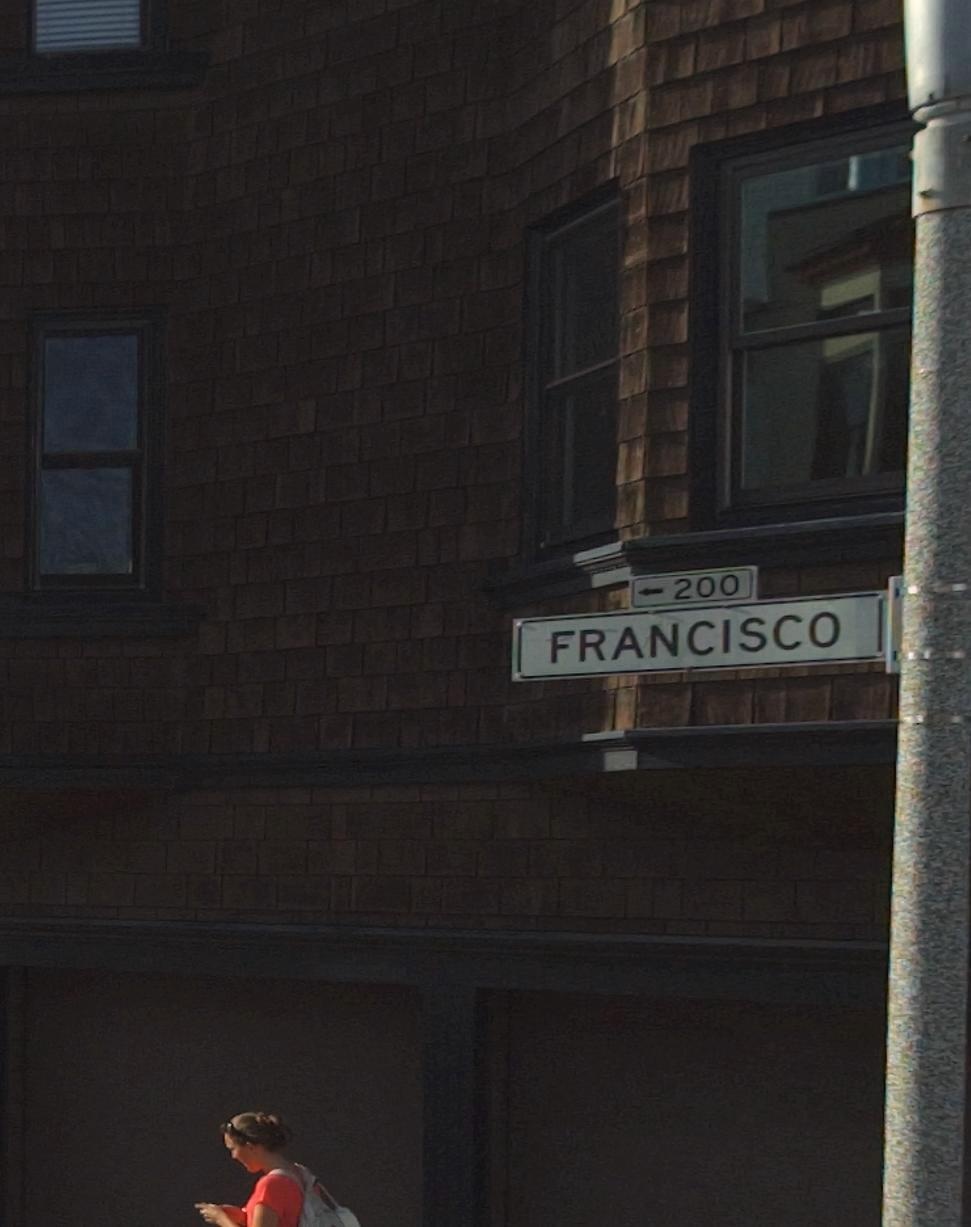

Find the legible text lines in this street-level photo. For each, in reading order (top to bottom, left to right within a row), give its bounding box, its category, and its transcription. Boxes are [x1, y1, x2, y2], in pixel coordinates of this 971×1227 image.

[635, 570, 744, 604] StreetNumberRange: <-200
[546, 606, 844, 668] StreetName: FRANCISCO